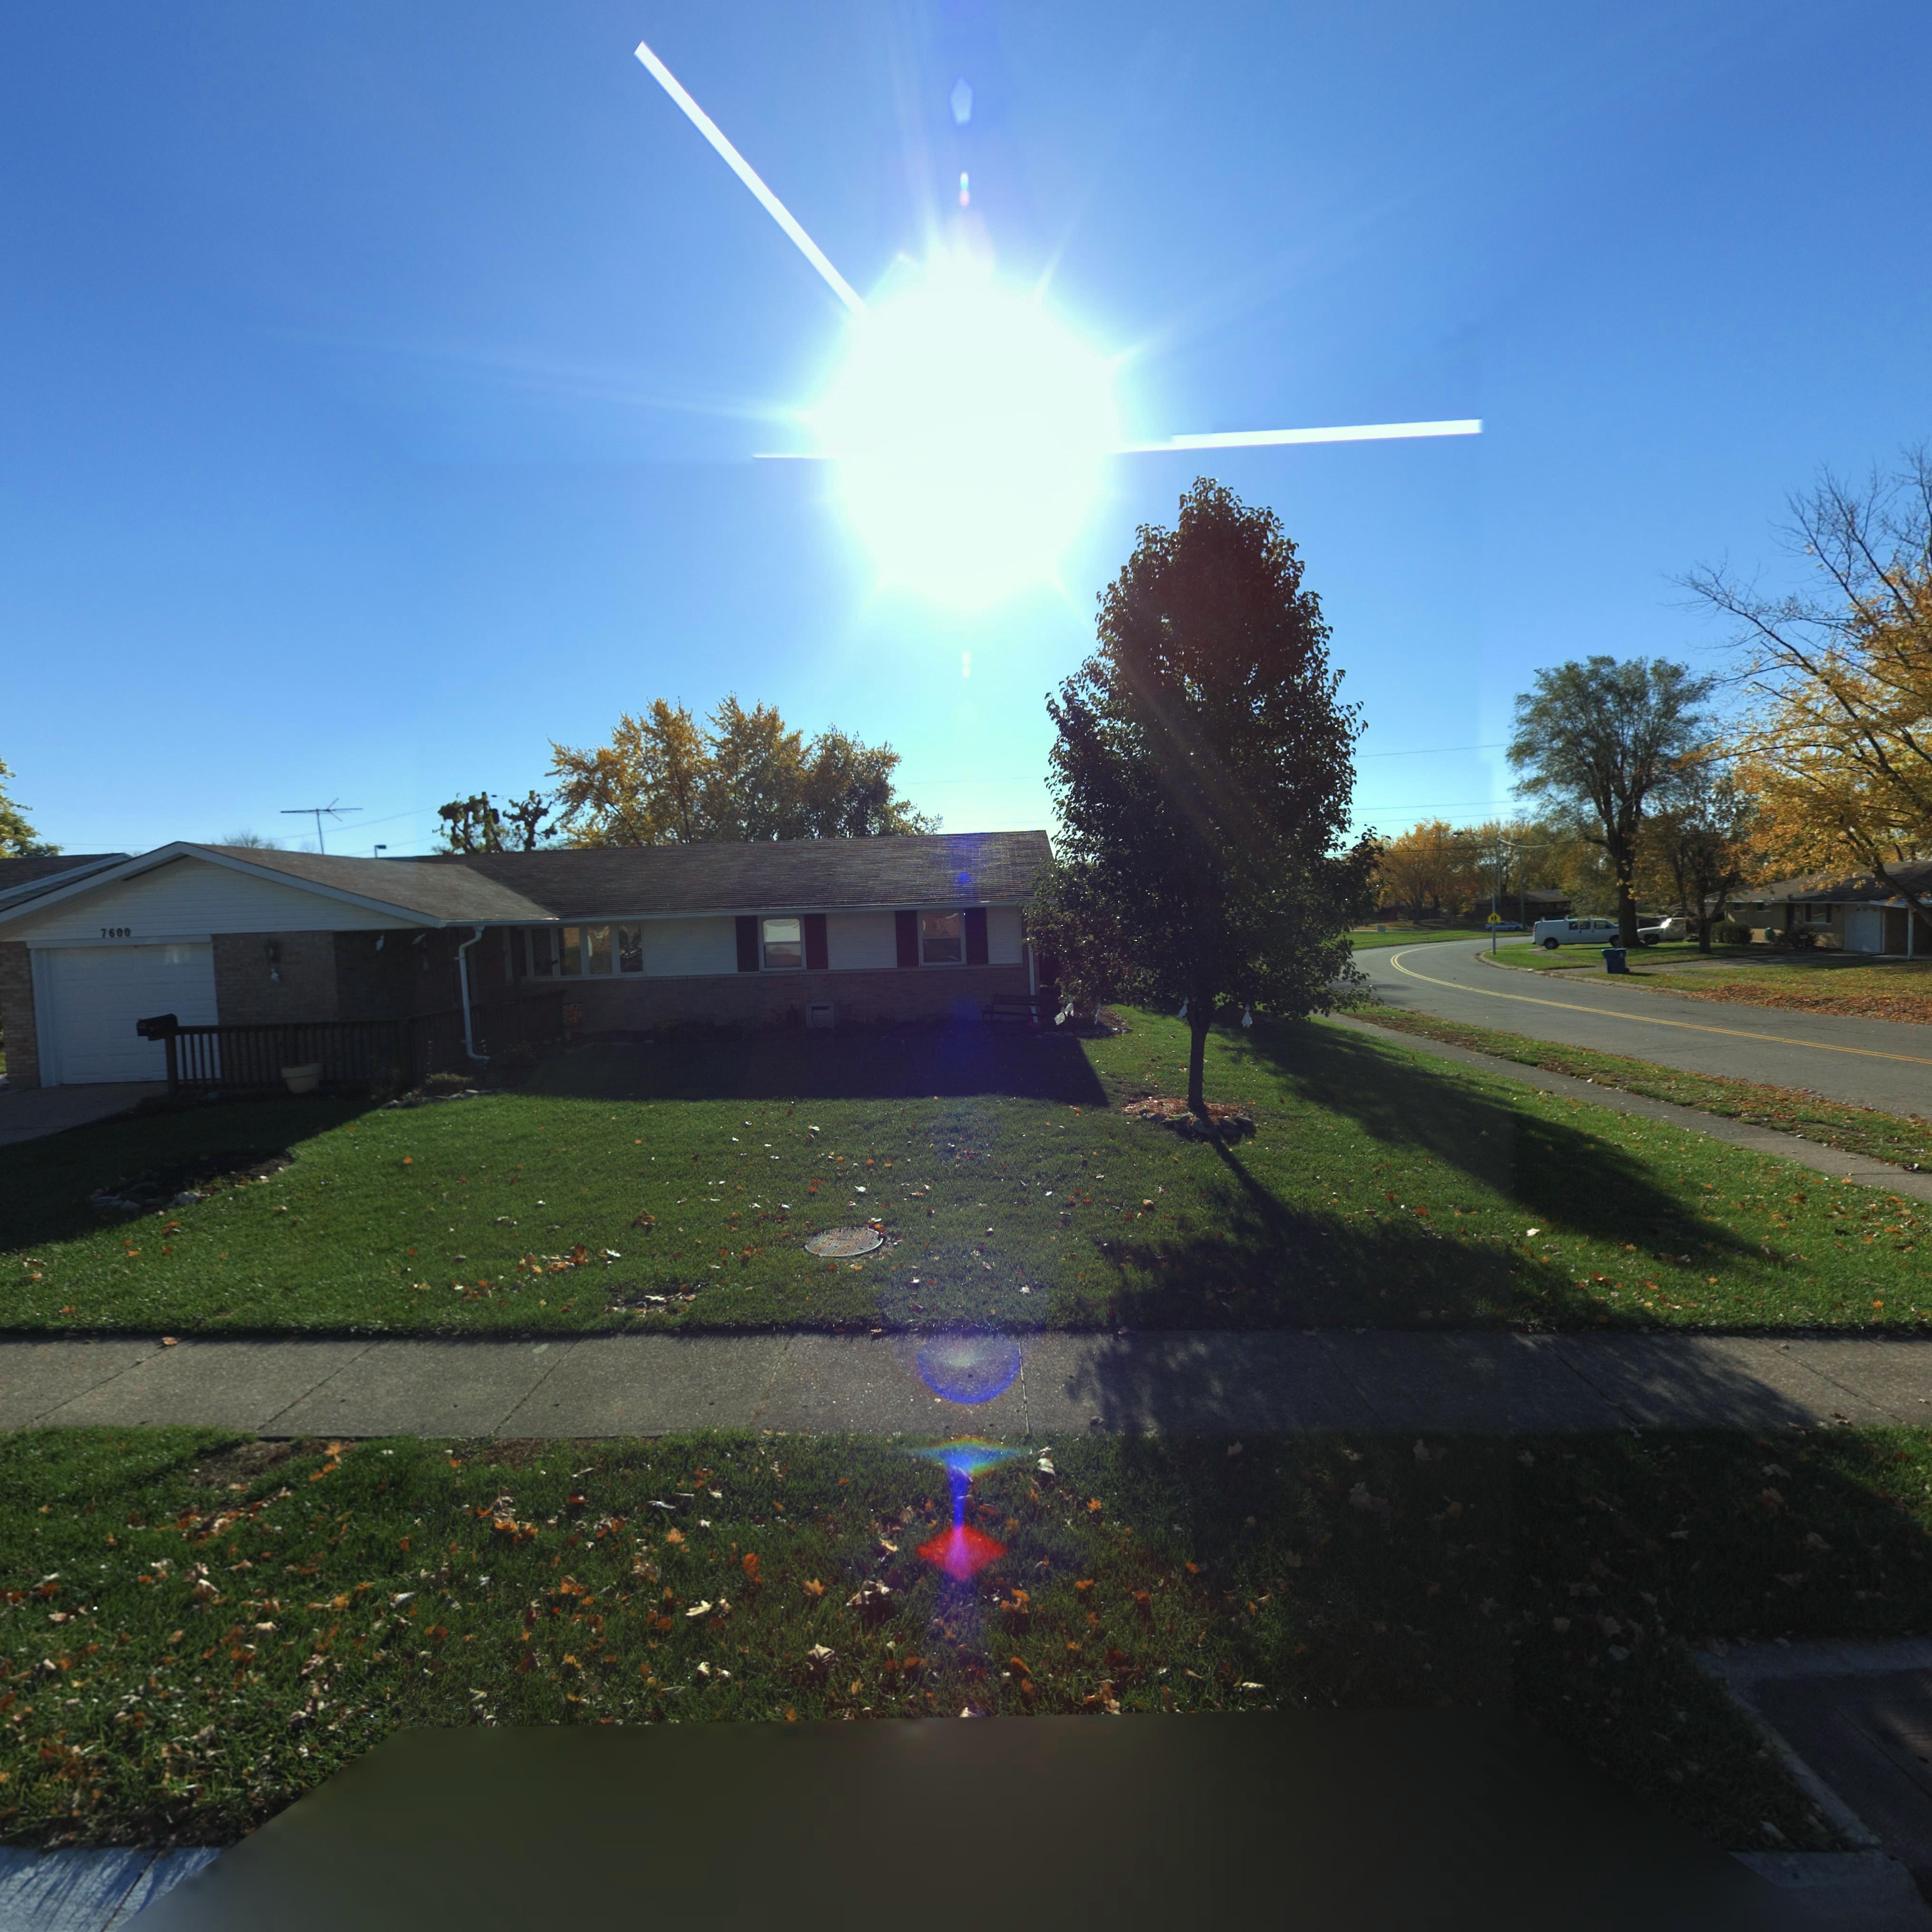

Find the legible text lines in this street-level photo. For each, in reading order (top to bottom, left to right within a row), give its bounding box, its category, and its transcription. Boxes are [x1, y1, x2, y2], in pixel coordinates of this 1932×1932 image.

[99, 926, 132, 939] StreetNumber: 7600